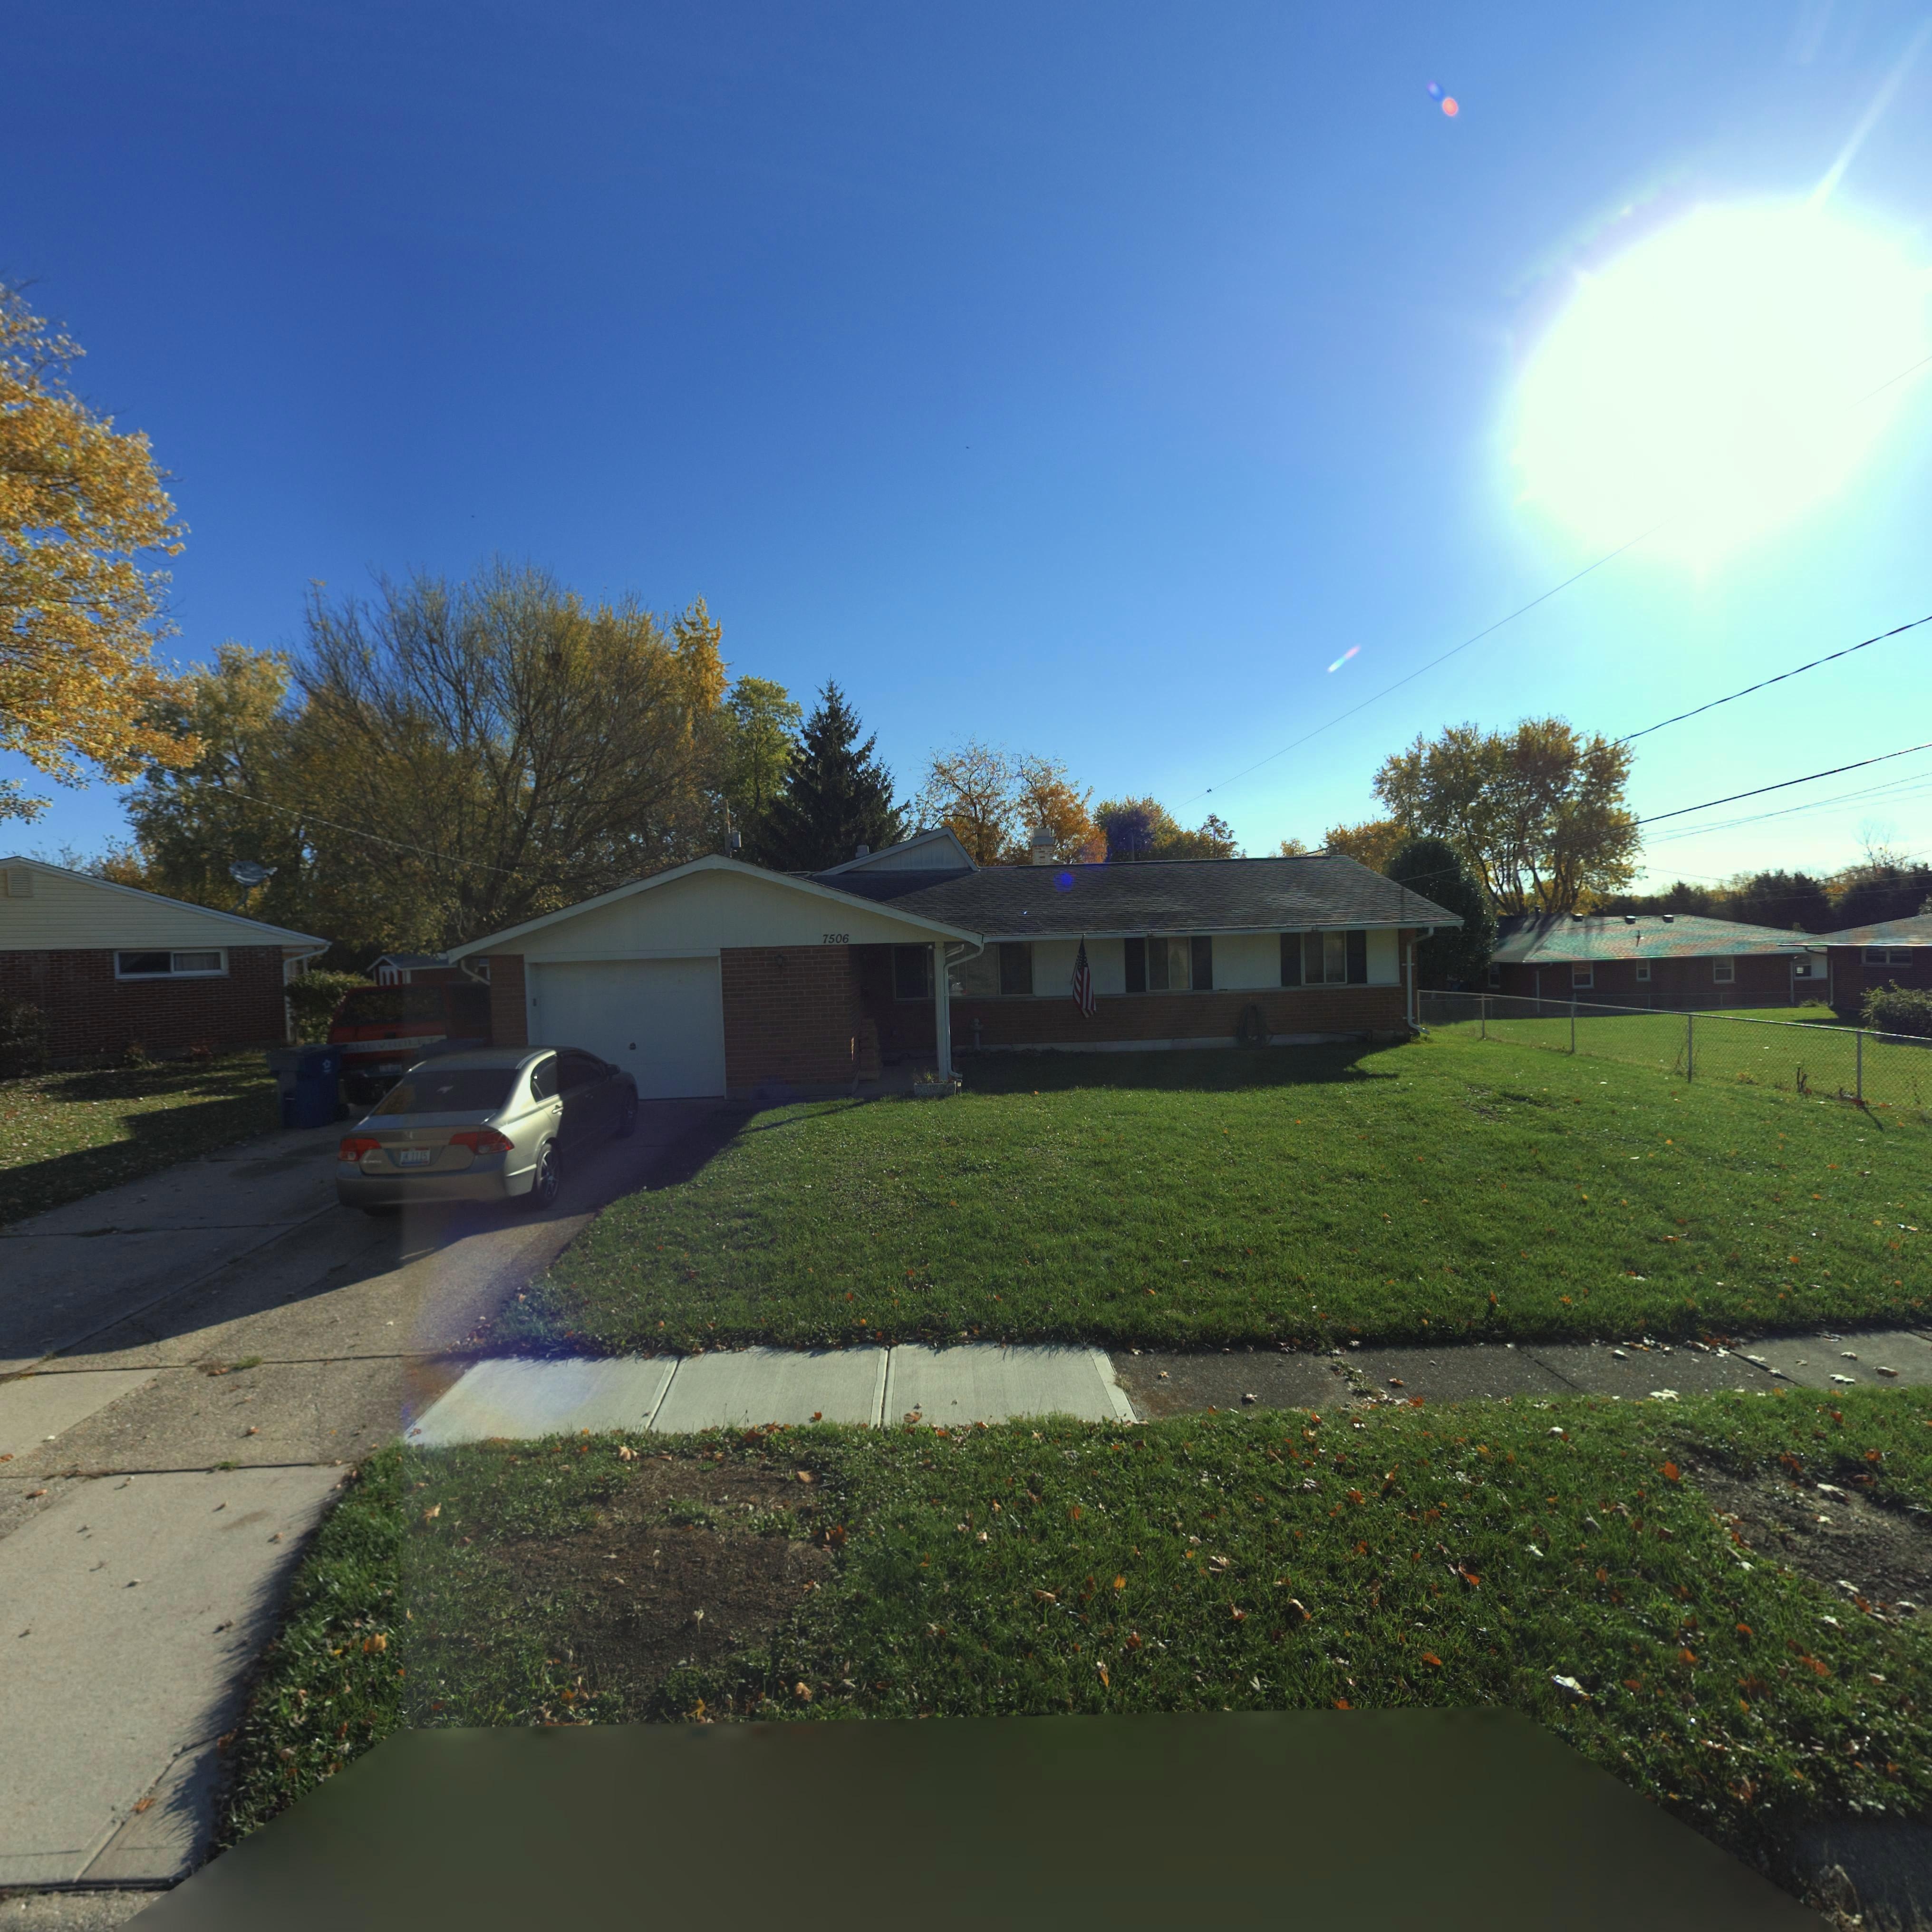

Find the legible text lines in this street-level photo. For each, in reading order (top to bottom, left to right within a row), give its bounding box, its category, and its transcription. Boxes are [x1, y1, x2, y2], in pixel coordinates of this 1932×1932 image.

[821, 933, 850, 945] StreetNumber: 7506